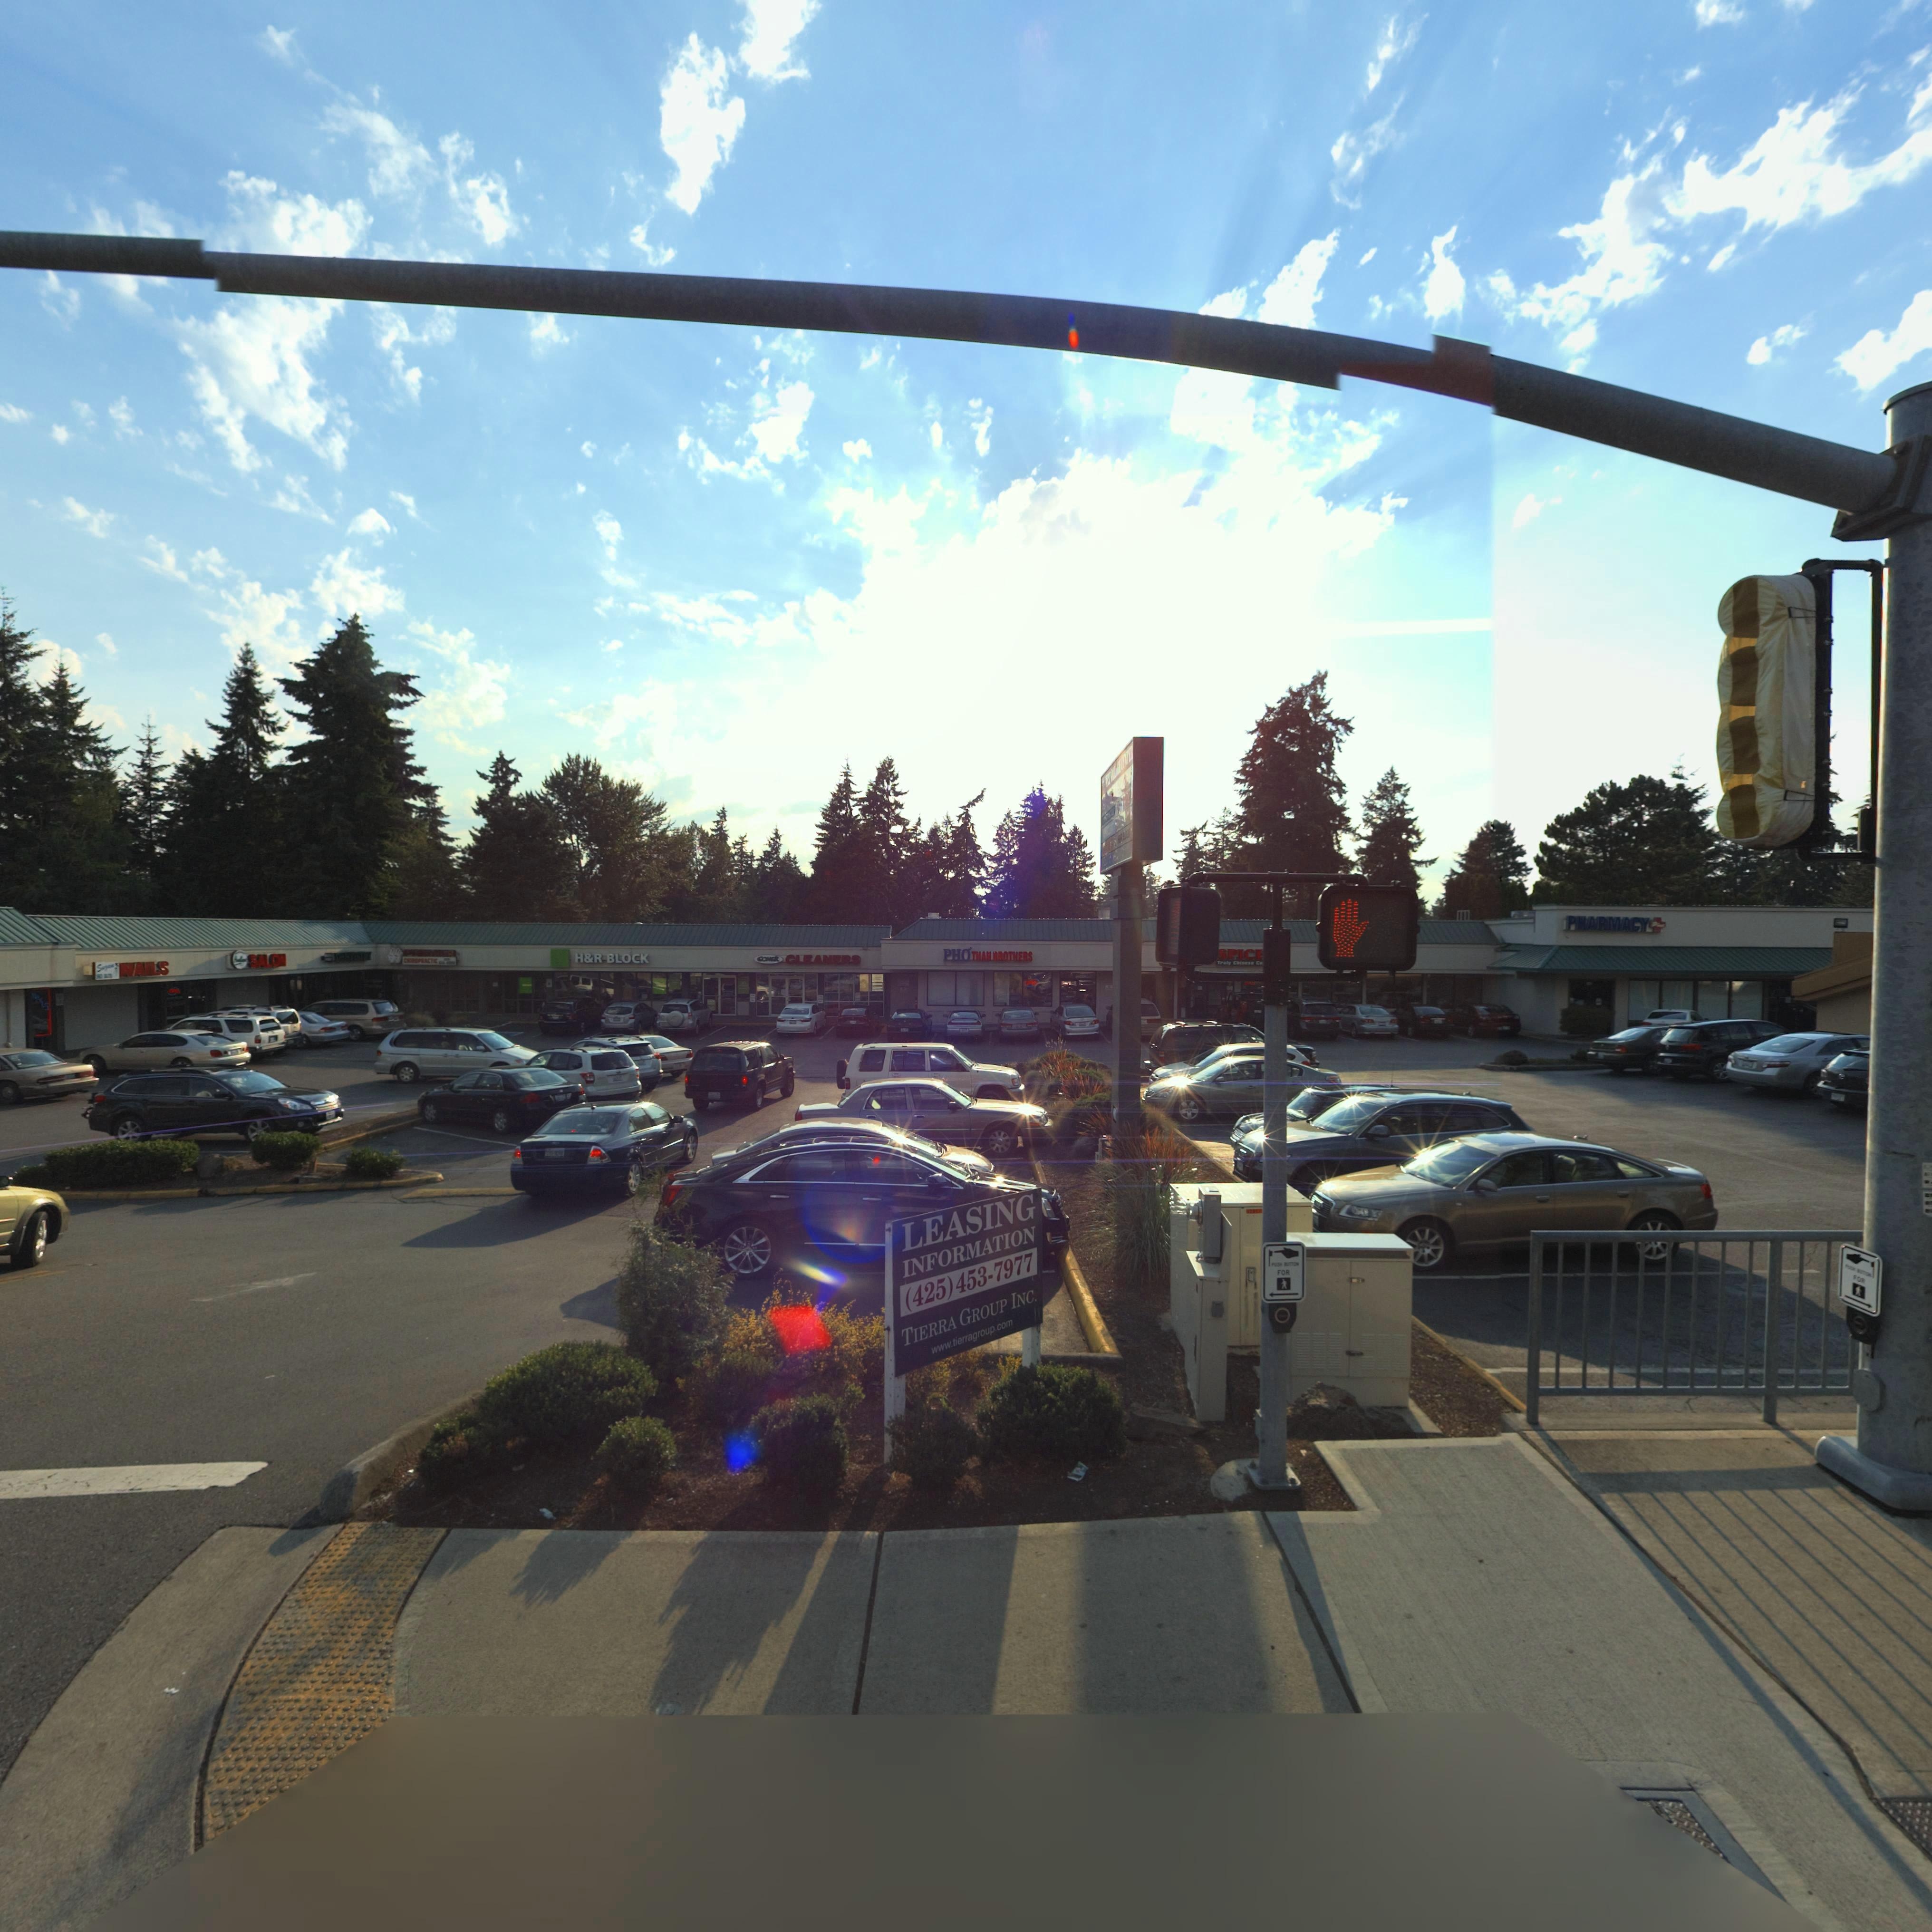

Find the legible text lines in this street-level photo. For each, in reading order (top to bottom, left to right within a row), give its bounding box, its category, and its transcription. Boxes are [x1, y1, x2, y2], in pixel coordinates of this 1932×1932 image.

[249, 953, 286, 968] BusinessName: SALO*
[575, 953, 650, 963] BusinessName: H*R BLOCK
[785, 954, 861, 966] BusinessName: CL*A***S
[943, 948, 971, 961] BusinessName: PH*
[971, 951, 1033, 962] BusinessName: TH* BROTHERS
[120, 960, 168, 977] BusinessName: *AILS